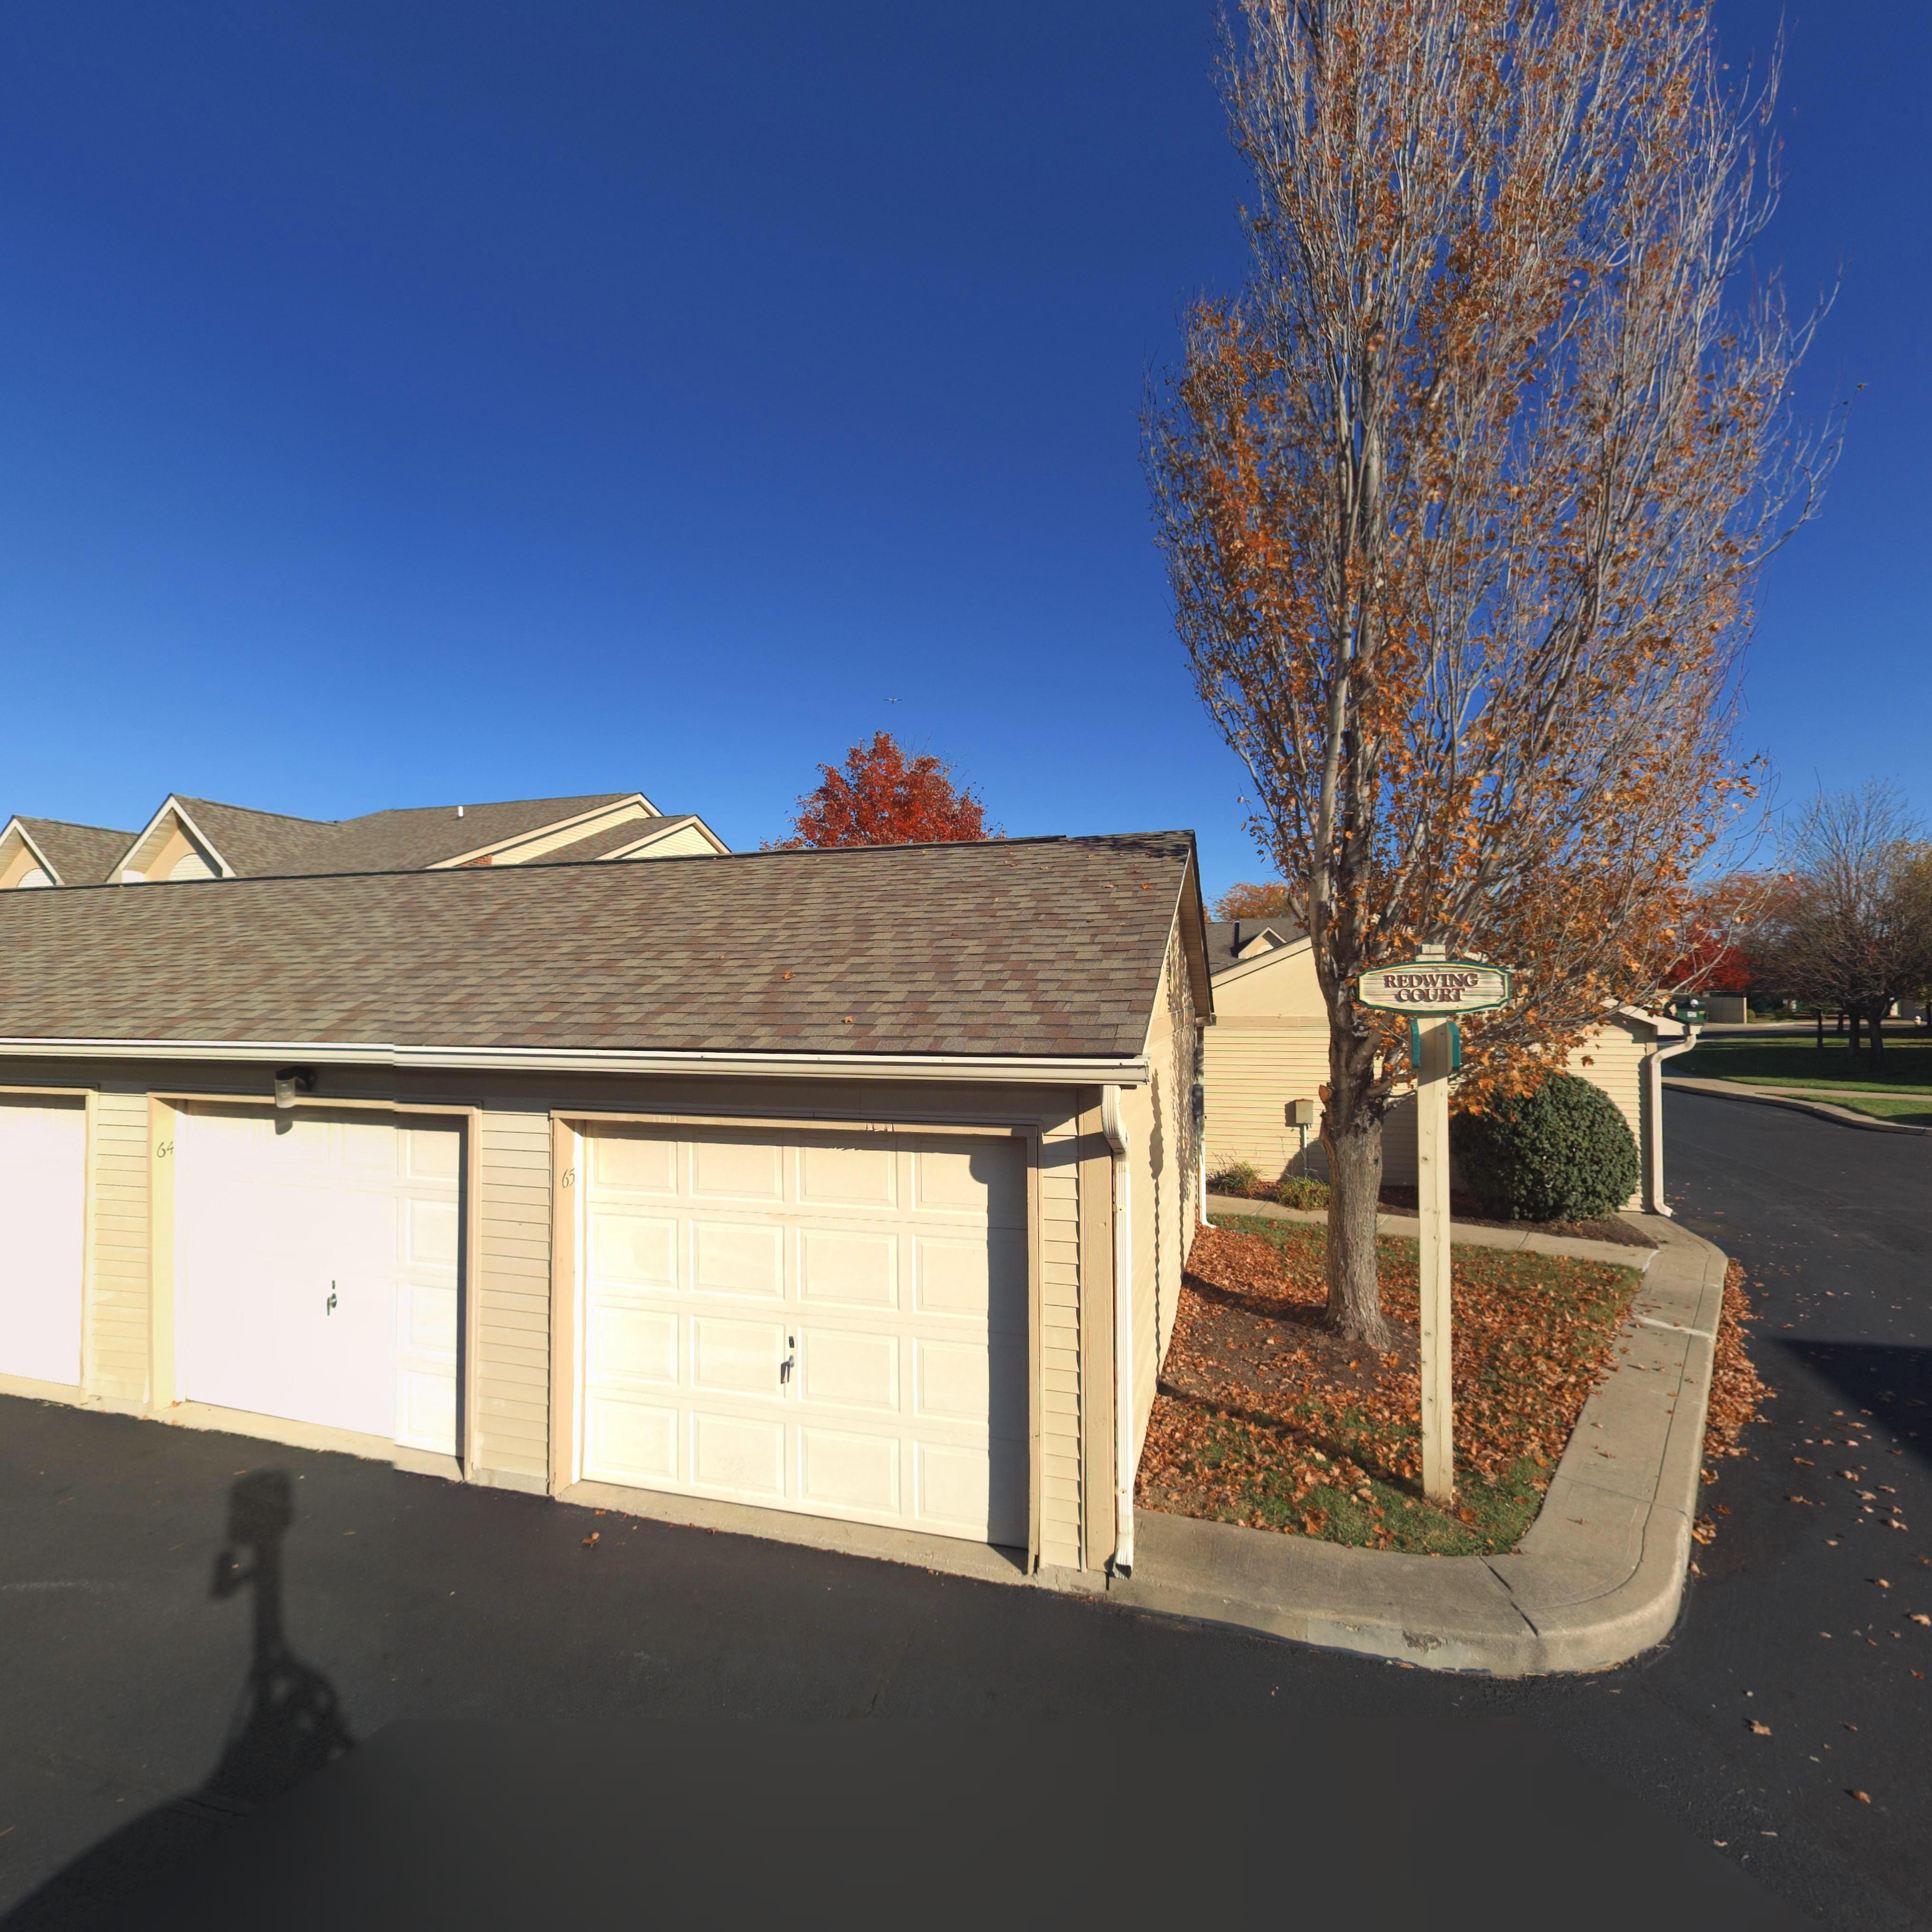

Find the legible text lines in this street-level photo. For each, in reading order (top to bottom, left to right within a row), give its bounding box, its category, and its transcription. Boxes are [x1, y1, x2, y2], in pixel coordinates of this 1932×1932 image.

[155, 1140, 175, 1158] StreetNumber: 64
[561, 1168, 577, 1189] StreetNumber: 65